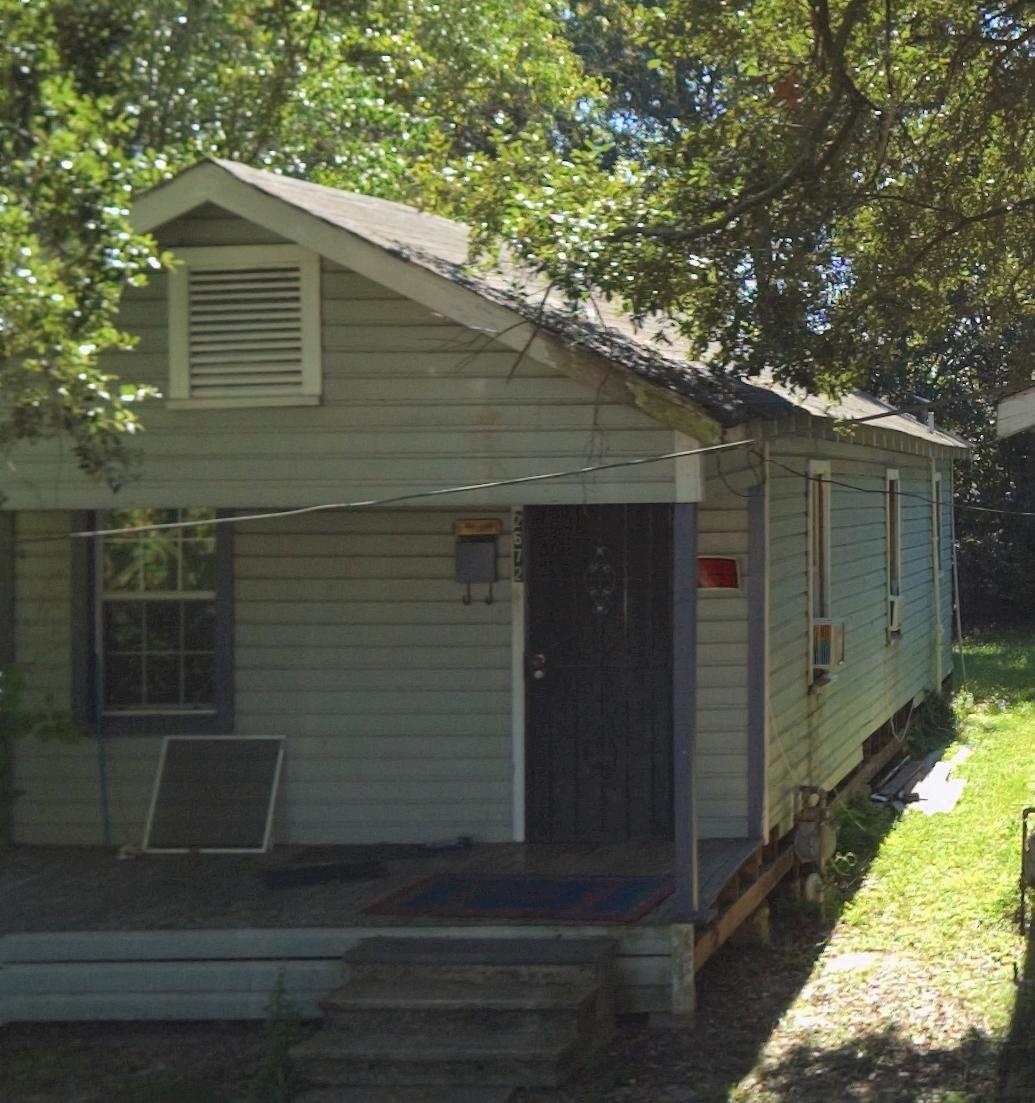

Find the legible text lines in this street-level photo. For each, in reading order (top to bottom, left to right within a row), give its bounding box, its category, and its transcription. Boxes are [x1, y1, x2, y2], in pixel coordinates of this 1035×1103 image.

[511, 512, 525, 583] StreetNumber: 2672